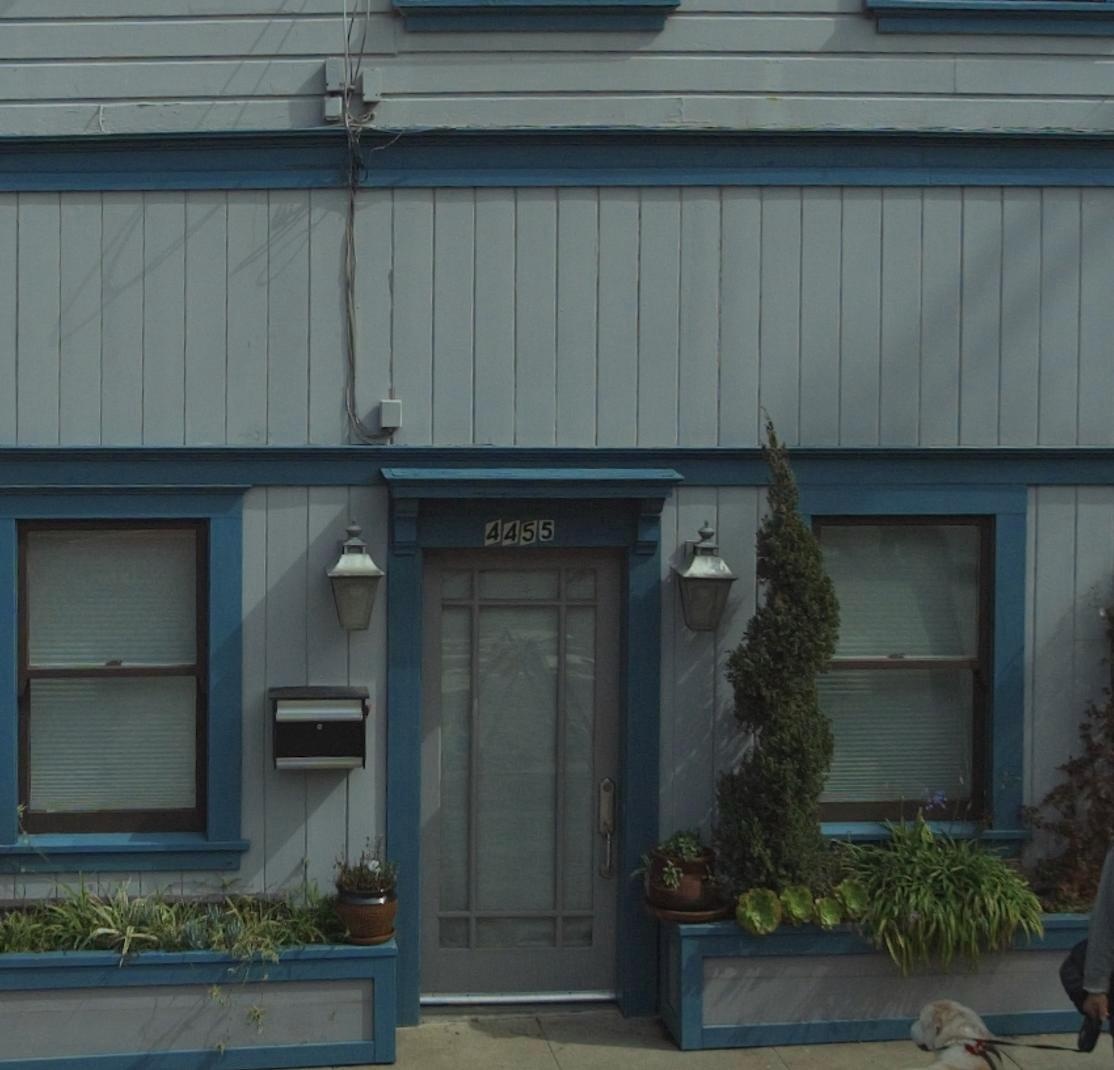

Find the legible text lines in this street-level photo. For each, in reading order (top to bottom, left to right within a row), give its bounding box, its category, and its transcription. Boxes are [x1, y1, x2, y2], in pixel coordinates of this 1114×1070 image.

[483, 519, 556, 544] StreetNumber: 4455